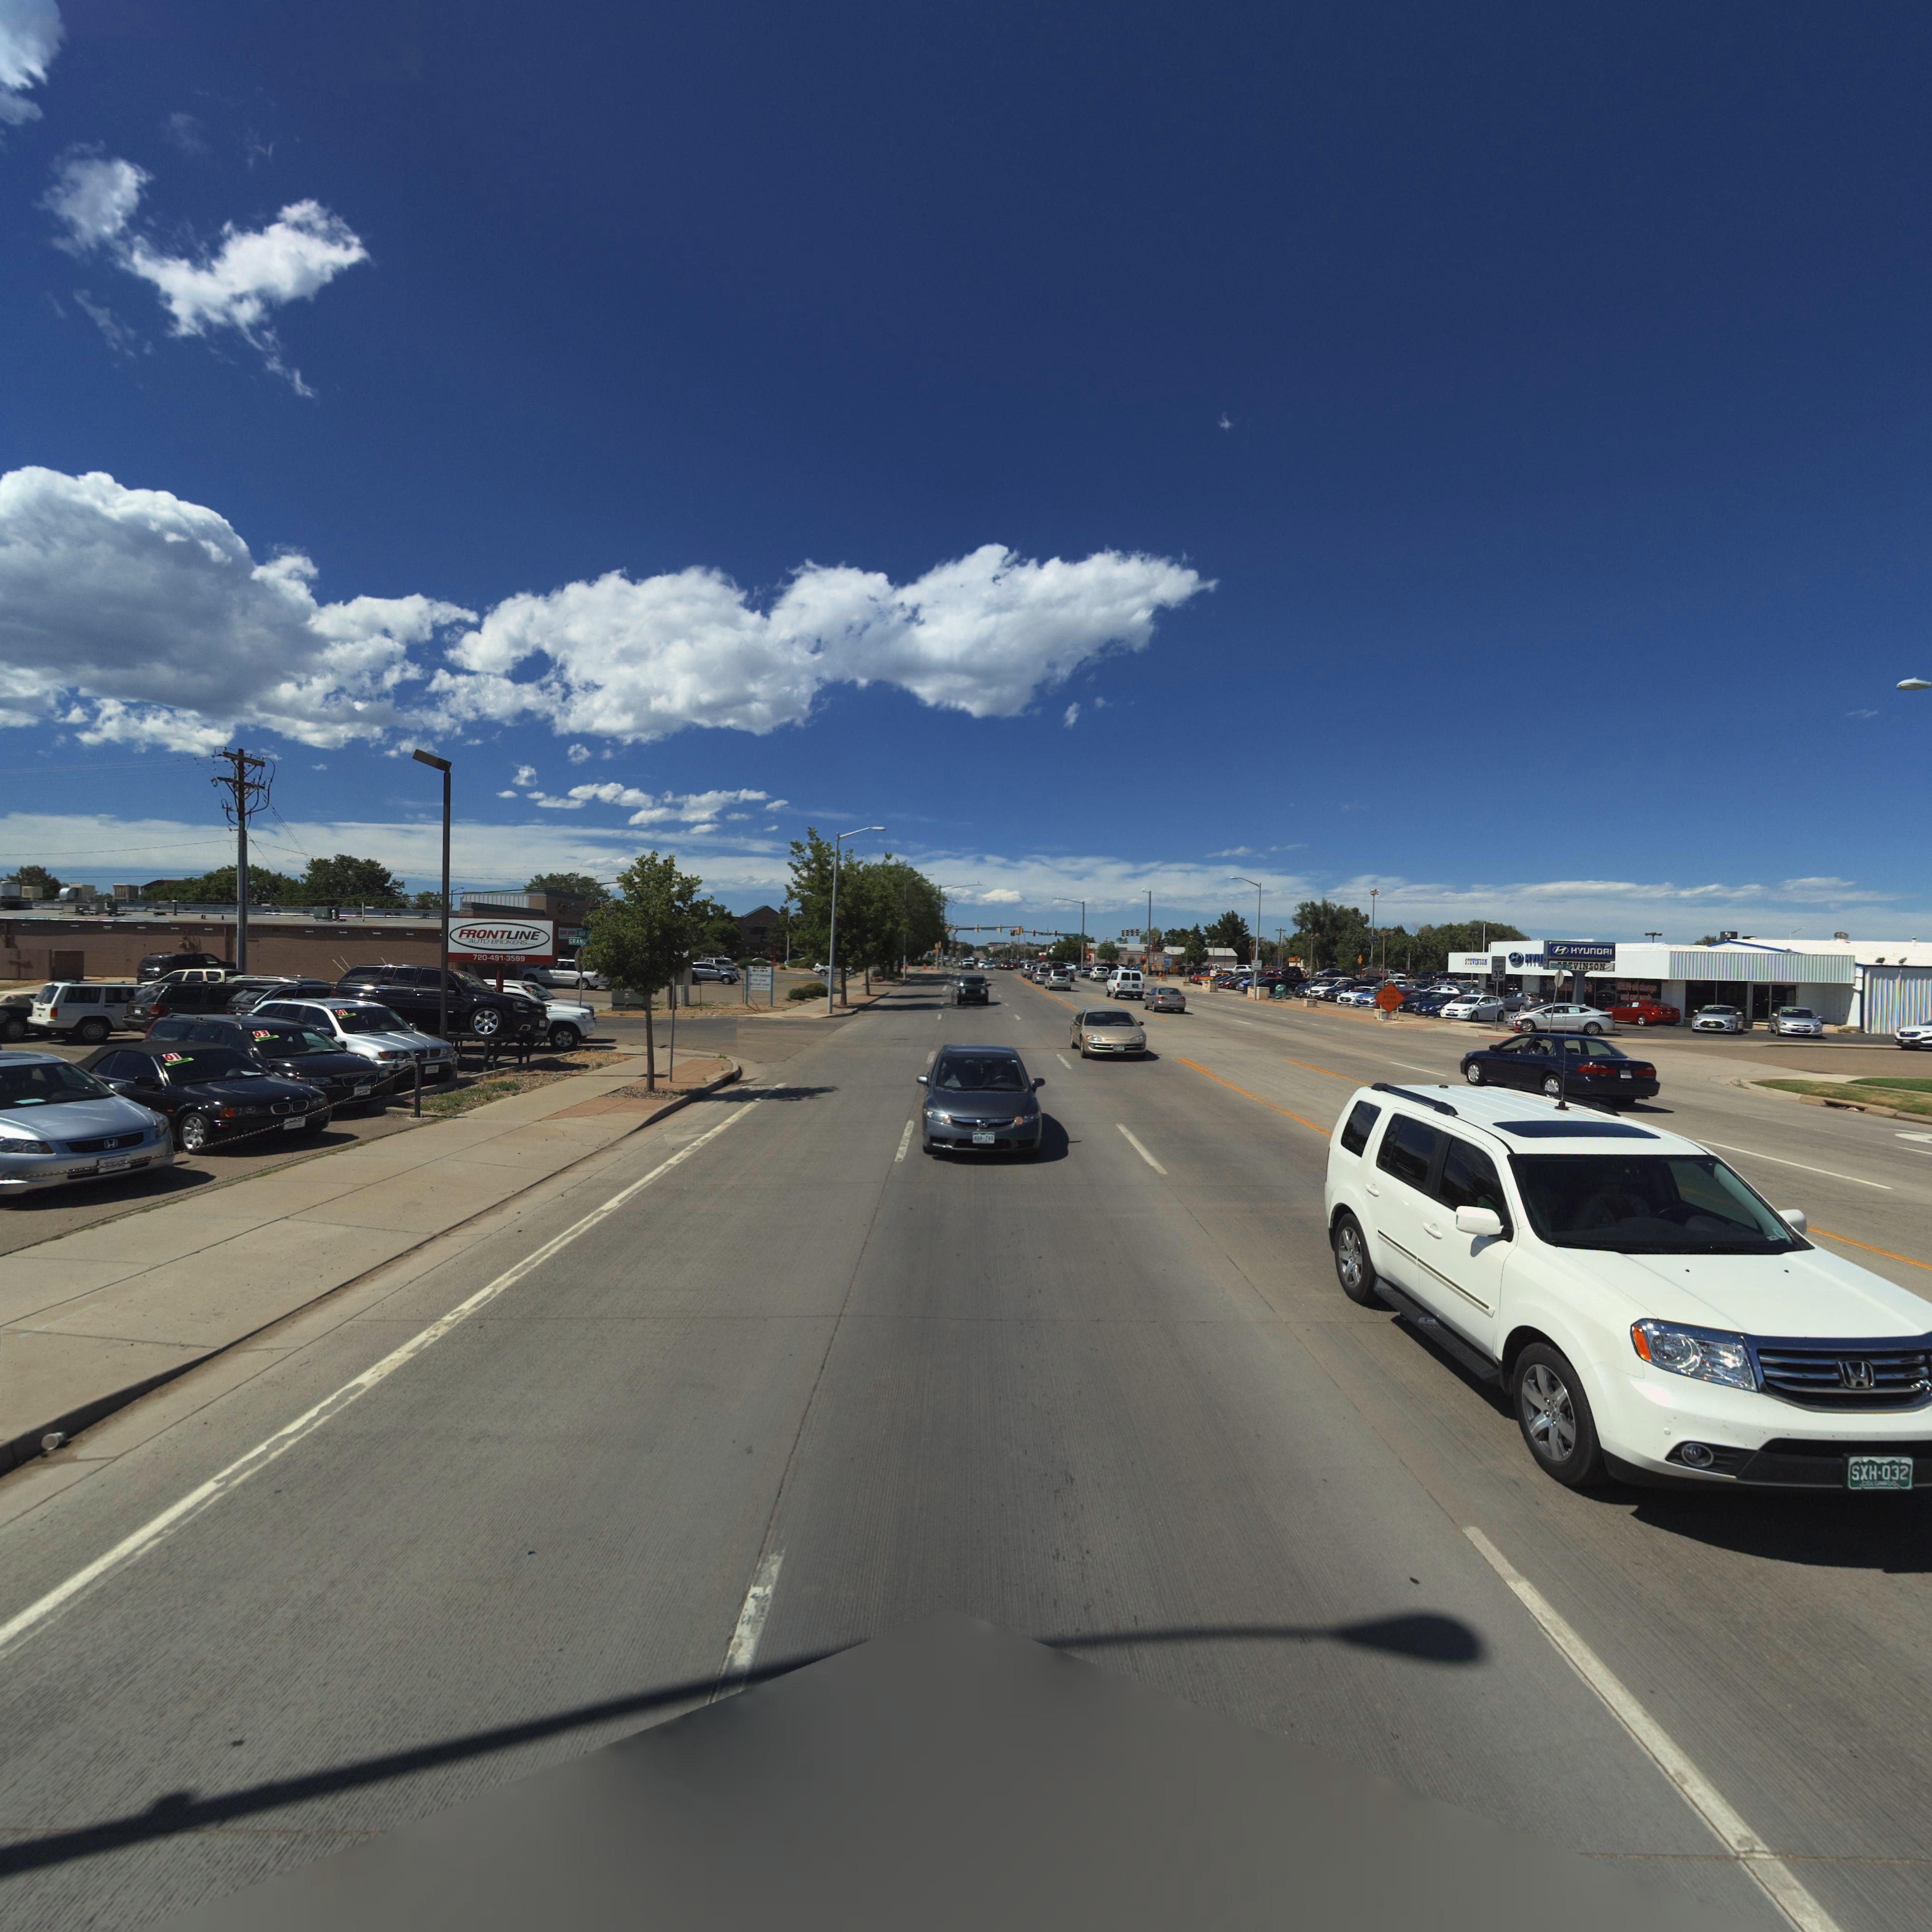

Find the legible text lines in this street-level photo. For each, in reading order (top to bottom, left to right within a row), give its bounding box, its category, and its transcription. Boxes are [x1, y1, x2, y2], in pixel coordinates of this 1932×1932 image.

[458, 929, 541, 940] BusinessName: FRONTLINE
[569, 938, 587, 944] StreetName: GRAND
[1570, 947, 1612, 956] BusinessName: HYUnDAI
[1525, 954, 1541, 963] BusinessName: HYU
[1573, 962, 1606, 971] BusinessName: VINSON